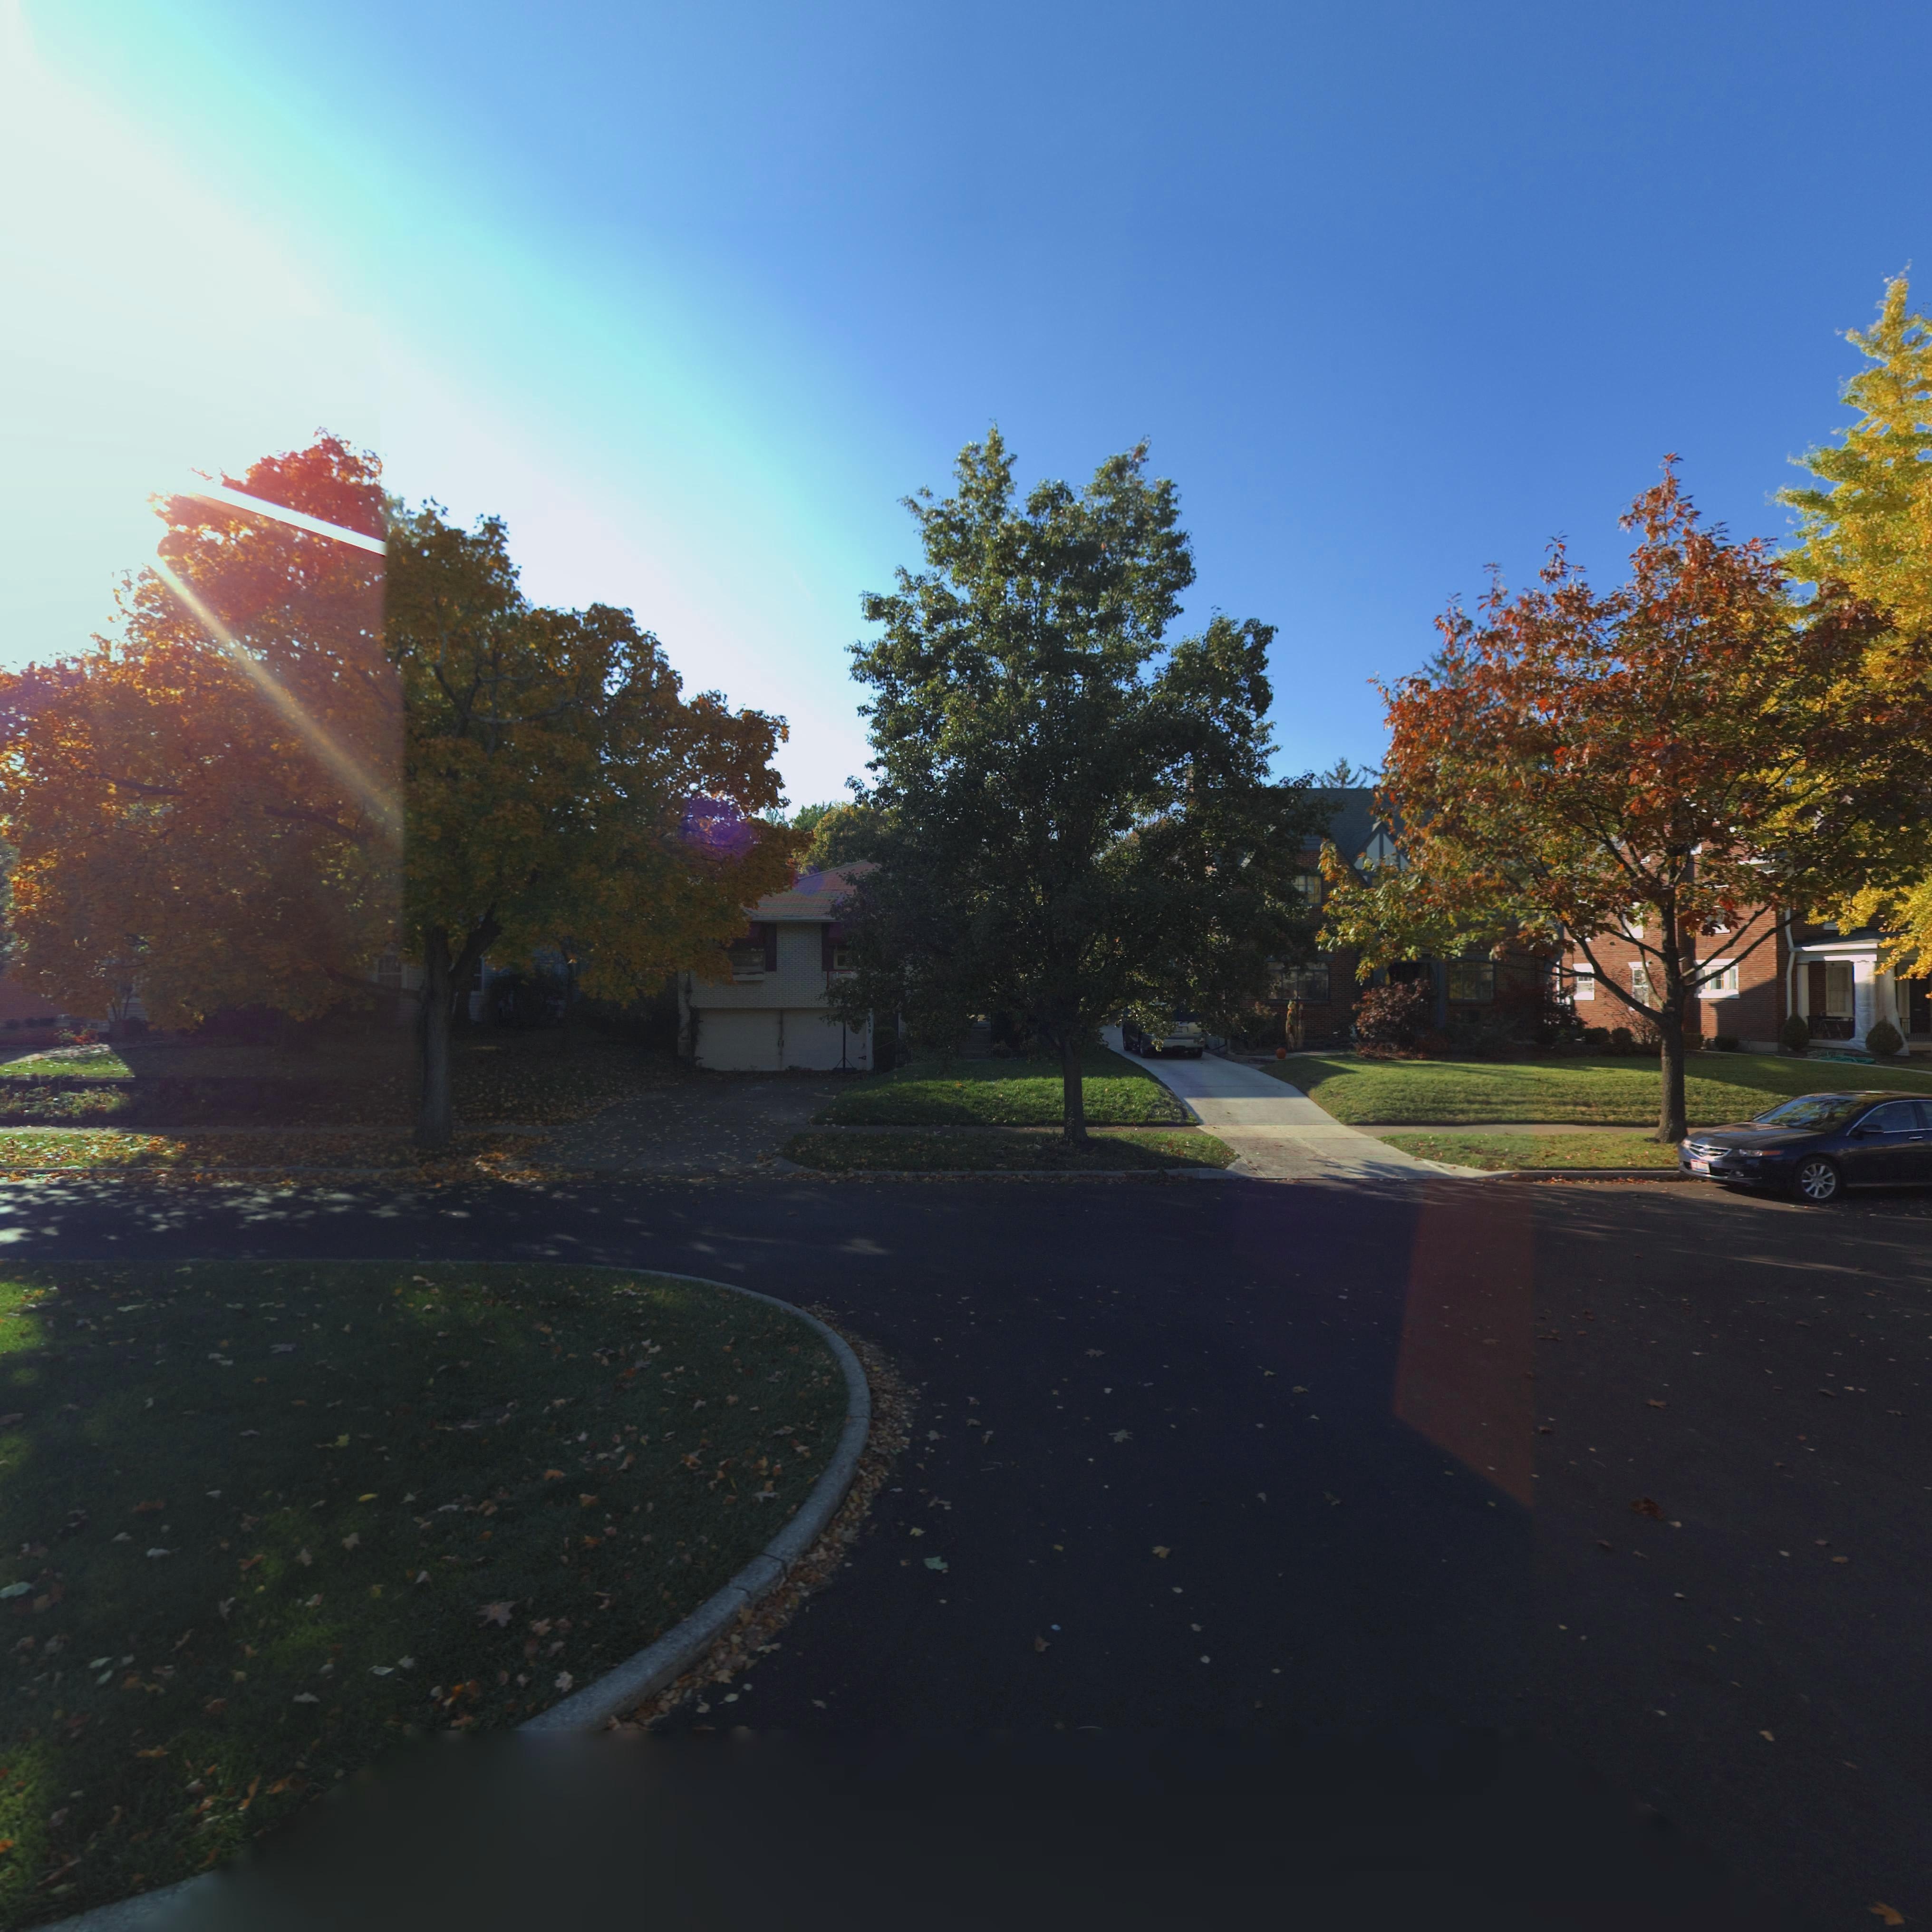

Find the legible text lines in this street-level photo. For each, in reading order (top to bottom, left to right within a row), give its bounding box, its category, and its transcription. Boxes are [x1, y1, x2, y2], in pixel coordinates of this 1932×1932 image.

[867, 1022, 871, 1034] StreetNumber: 39